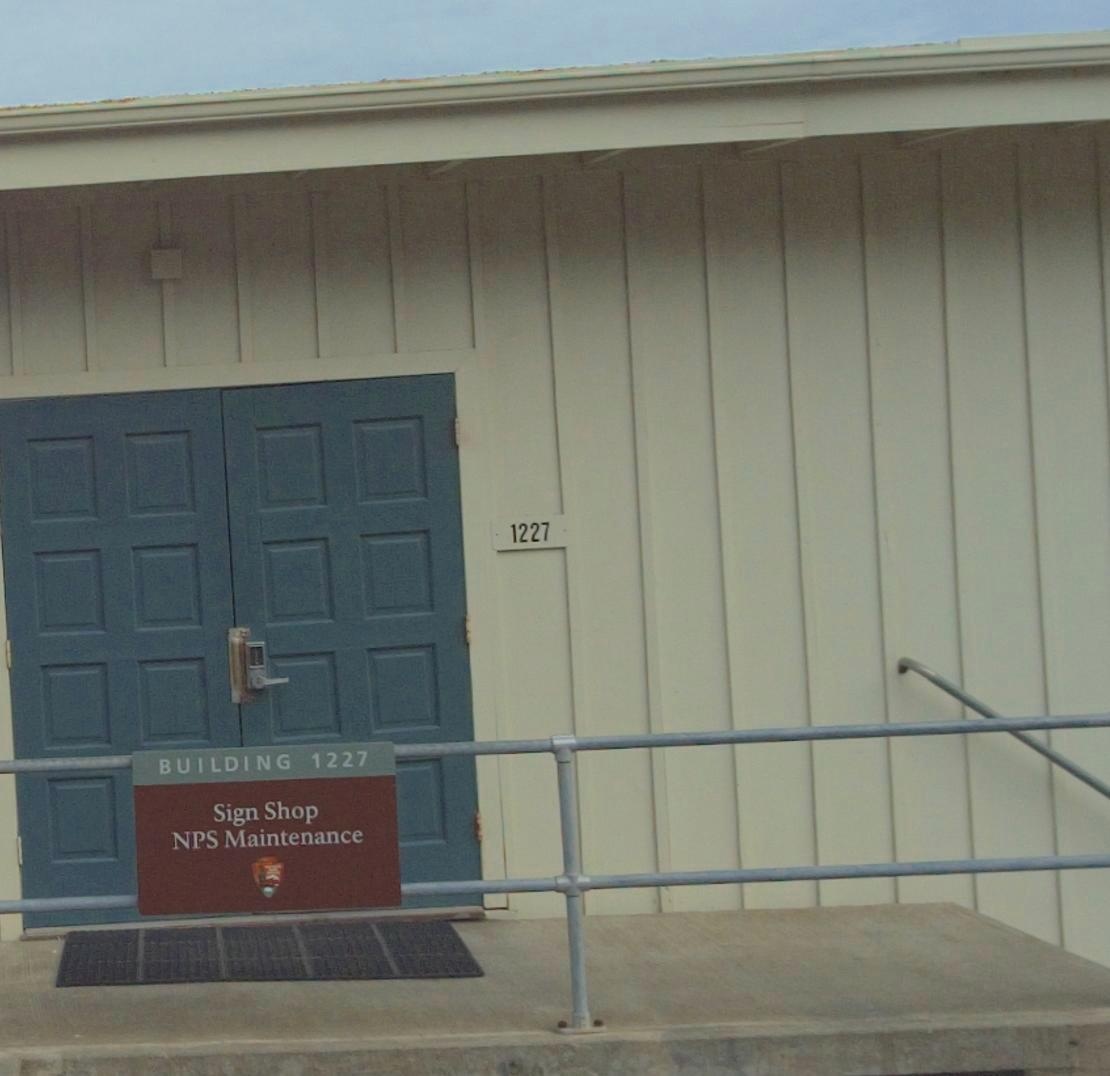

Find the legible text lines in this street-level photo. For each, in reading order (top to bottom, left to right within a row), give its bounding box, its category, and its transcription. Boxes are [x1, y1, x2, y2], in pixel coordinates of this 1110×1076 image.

[509, 520, 551, 544] StreetNumber: 1227
[157, 752, 291, 776] None: BUILDING
[308, 749, 370, 769] StreetNumber: 1227
[212, 799, 320, 828] None: Sign Shop
[170, 827, 365, 851] None: NPS Maintenance